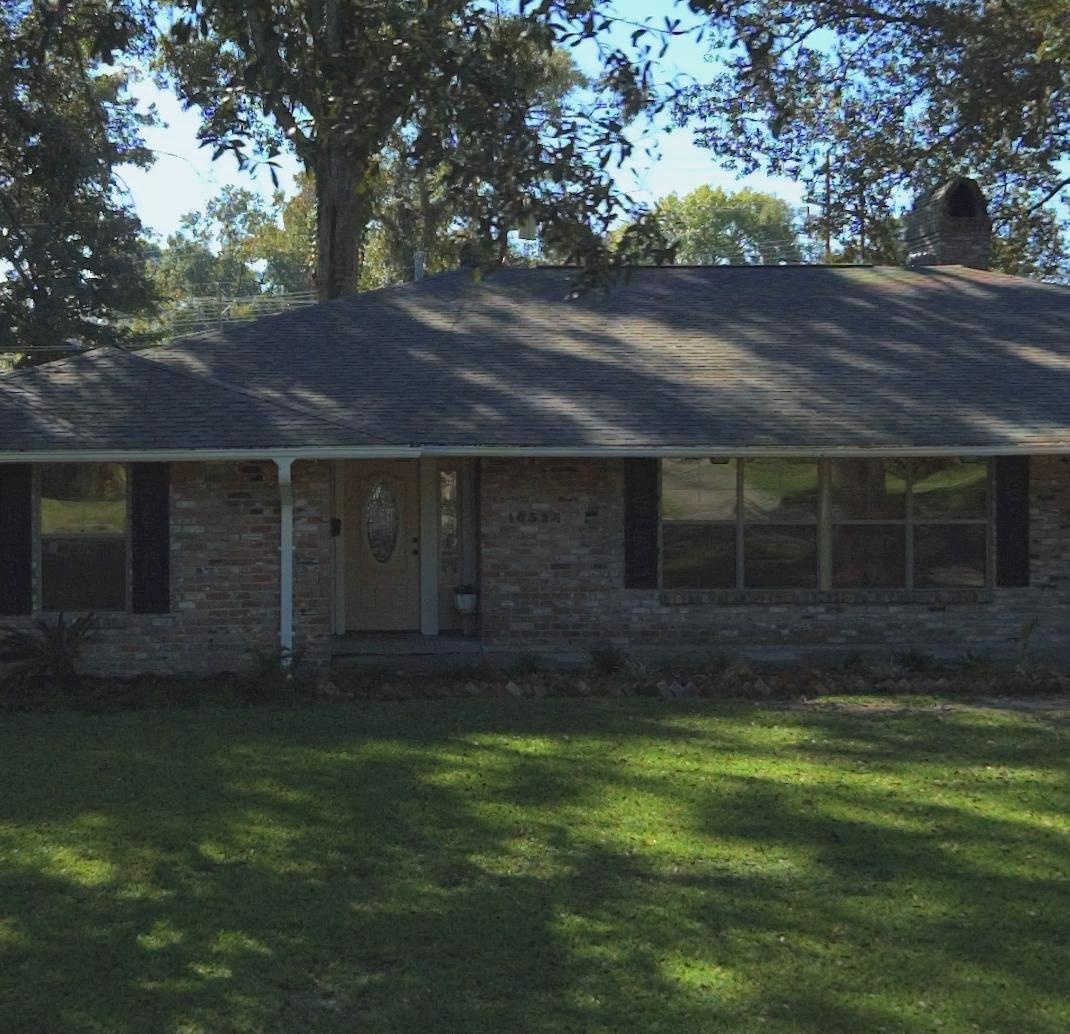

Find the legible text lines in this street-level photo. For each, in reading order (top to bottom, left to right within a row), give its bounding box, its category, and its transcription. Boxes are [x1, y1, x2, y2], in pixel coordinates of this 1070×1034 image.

[507, 509, 562, 526] StreetNumber: 1*524